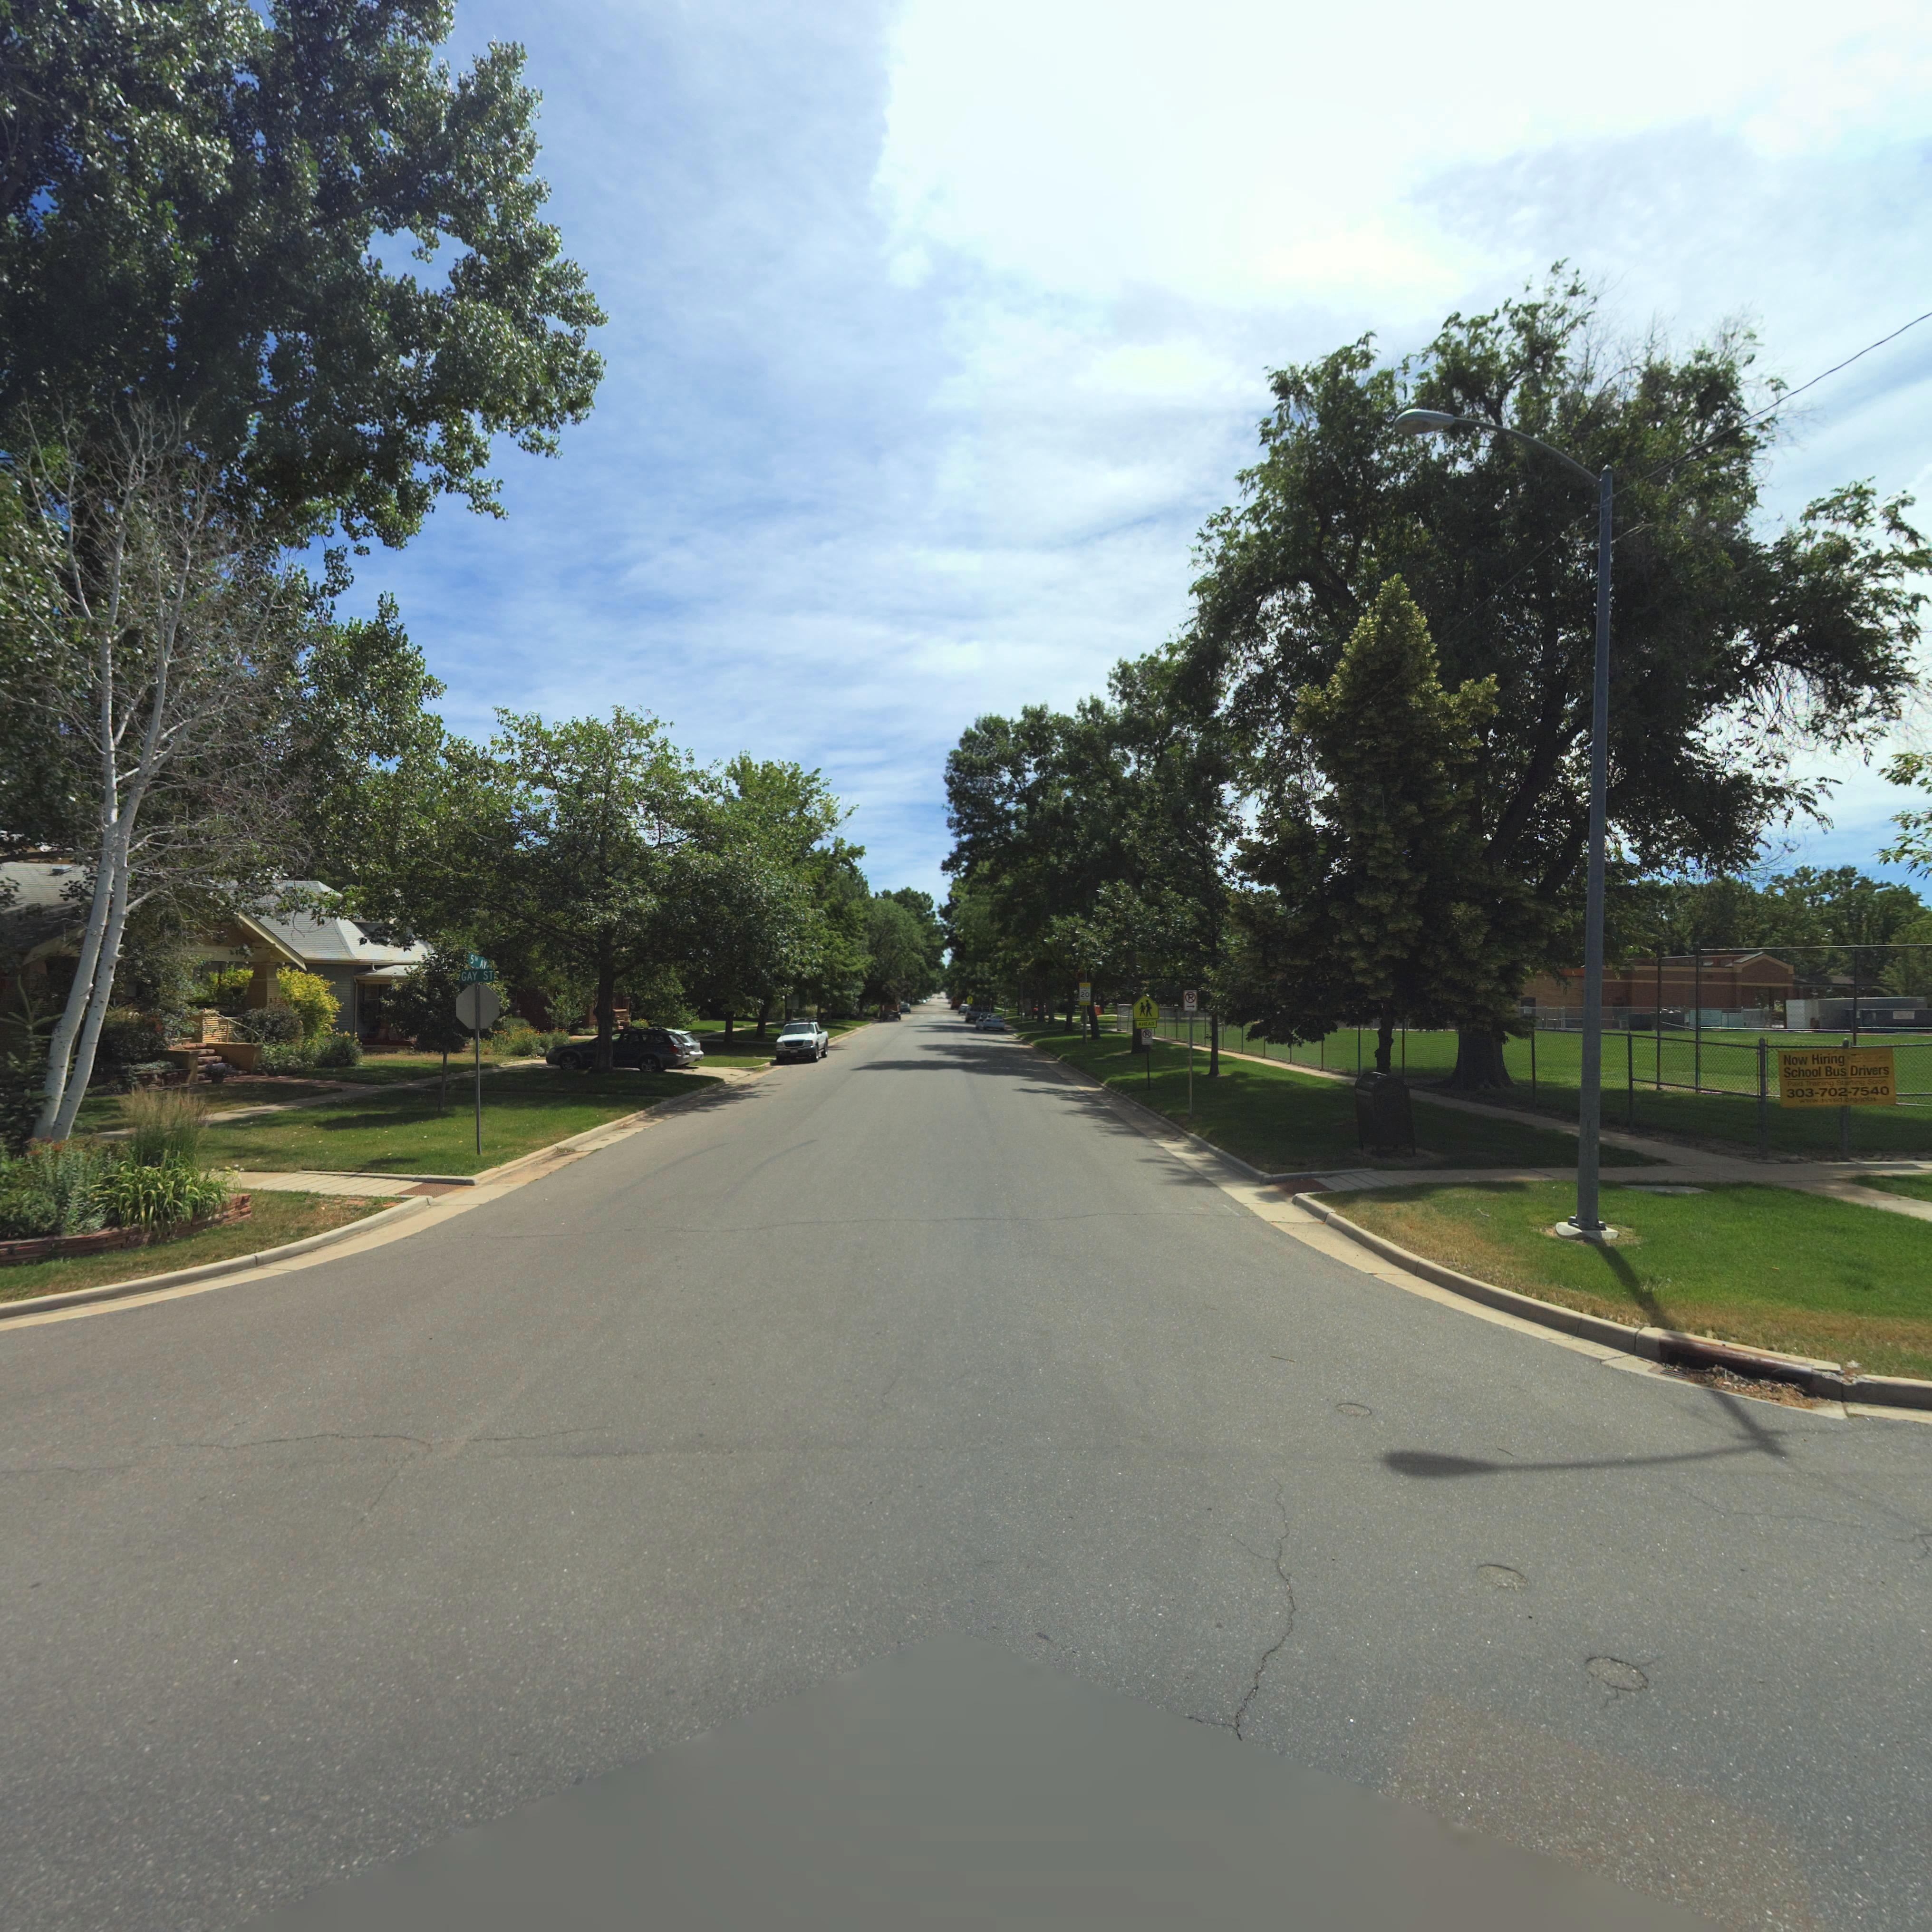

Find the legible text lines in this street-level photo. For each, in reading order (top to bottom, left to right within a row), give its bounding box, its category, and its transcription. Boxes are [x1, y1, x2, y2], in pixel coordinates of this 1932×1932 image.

[469, 954, 488, 969] StreetName: 5TH AV
[460, 970, 494, 981] StreetName: GAY ST